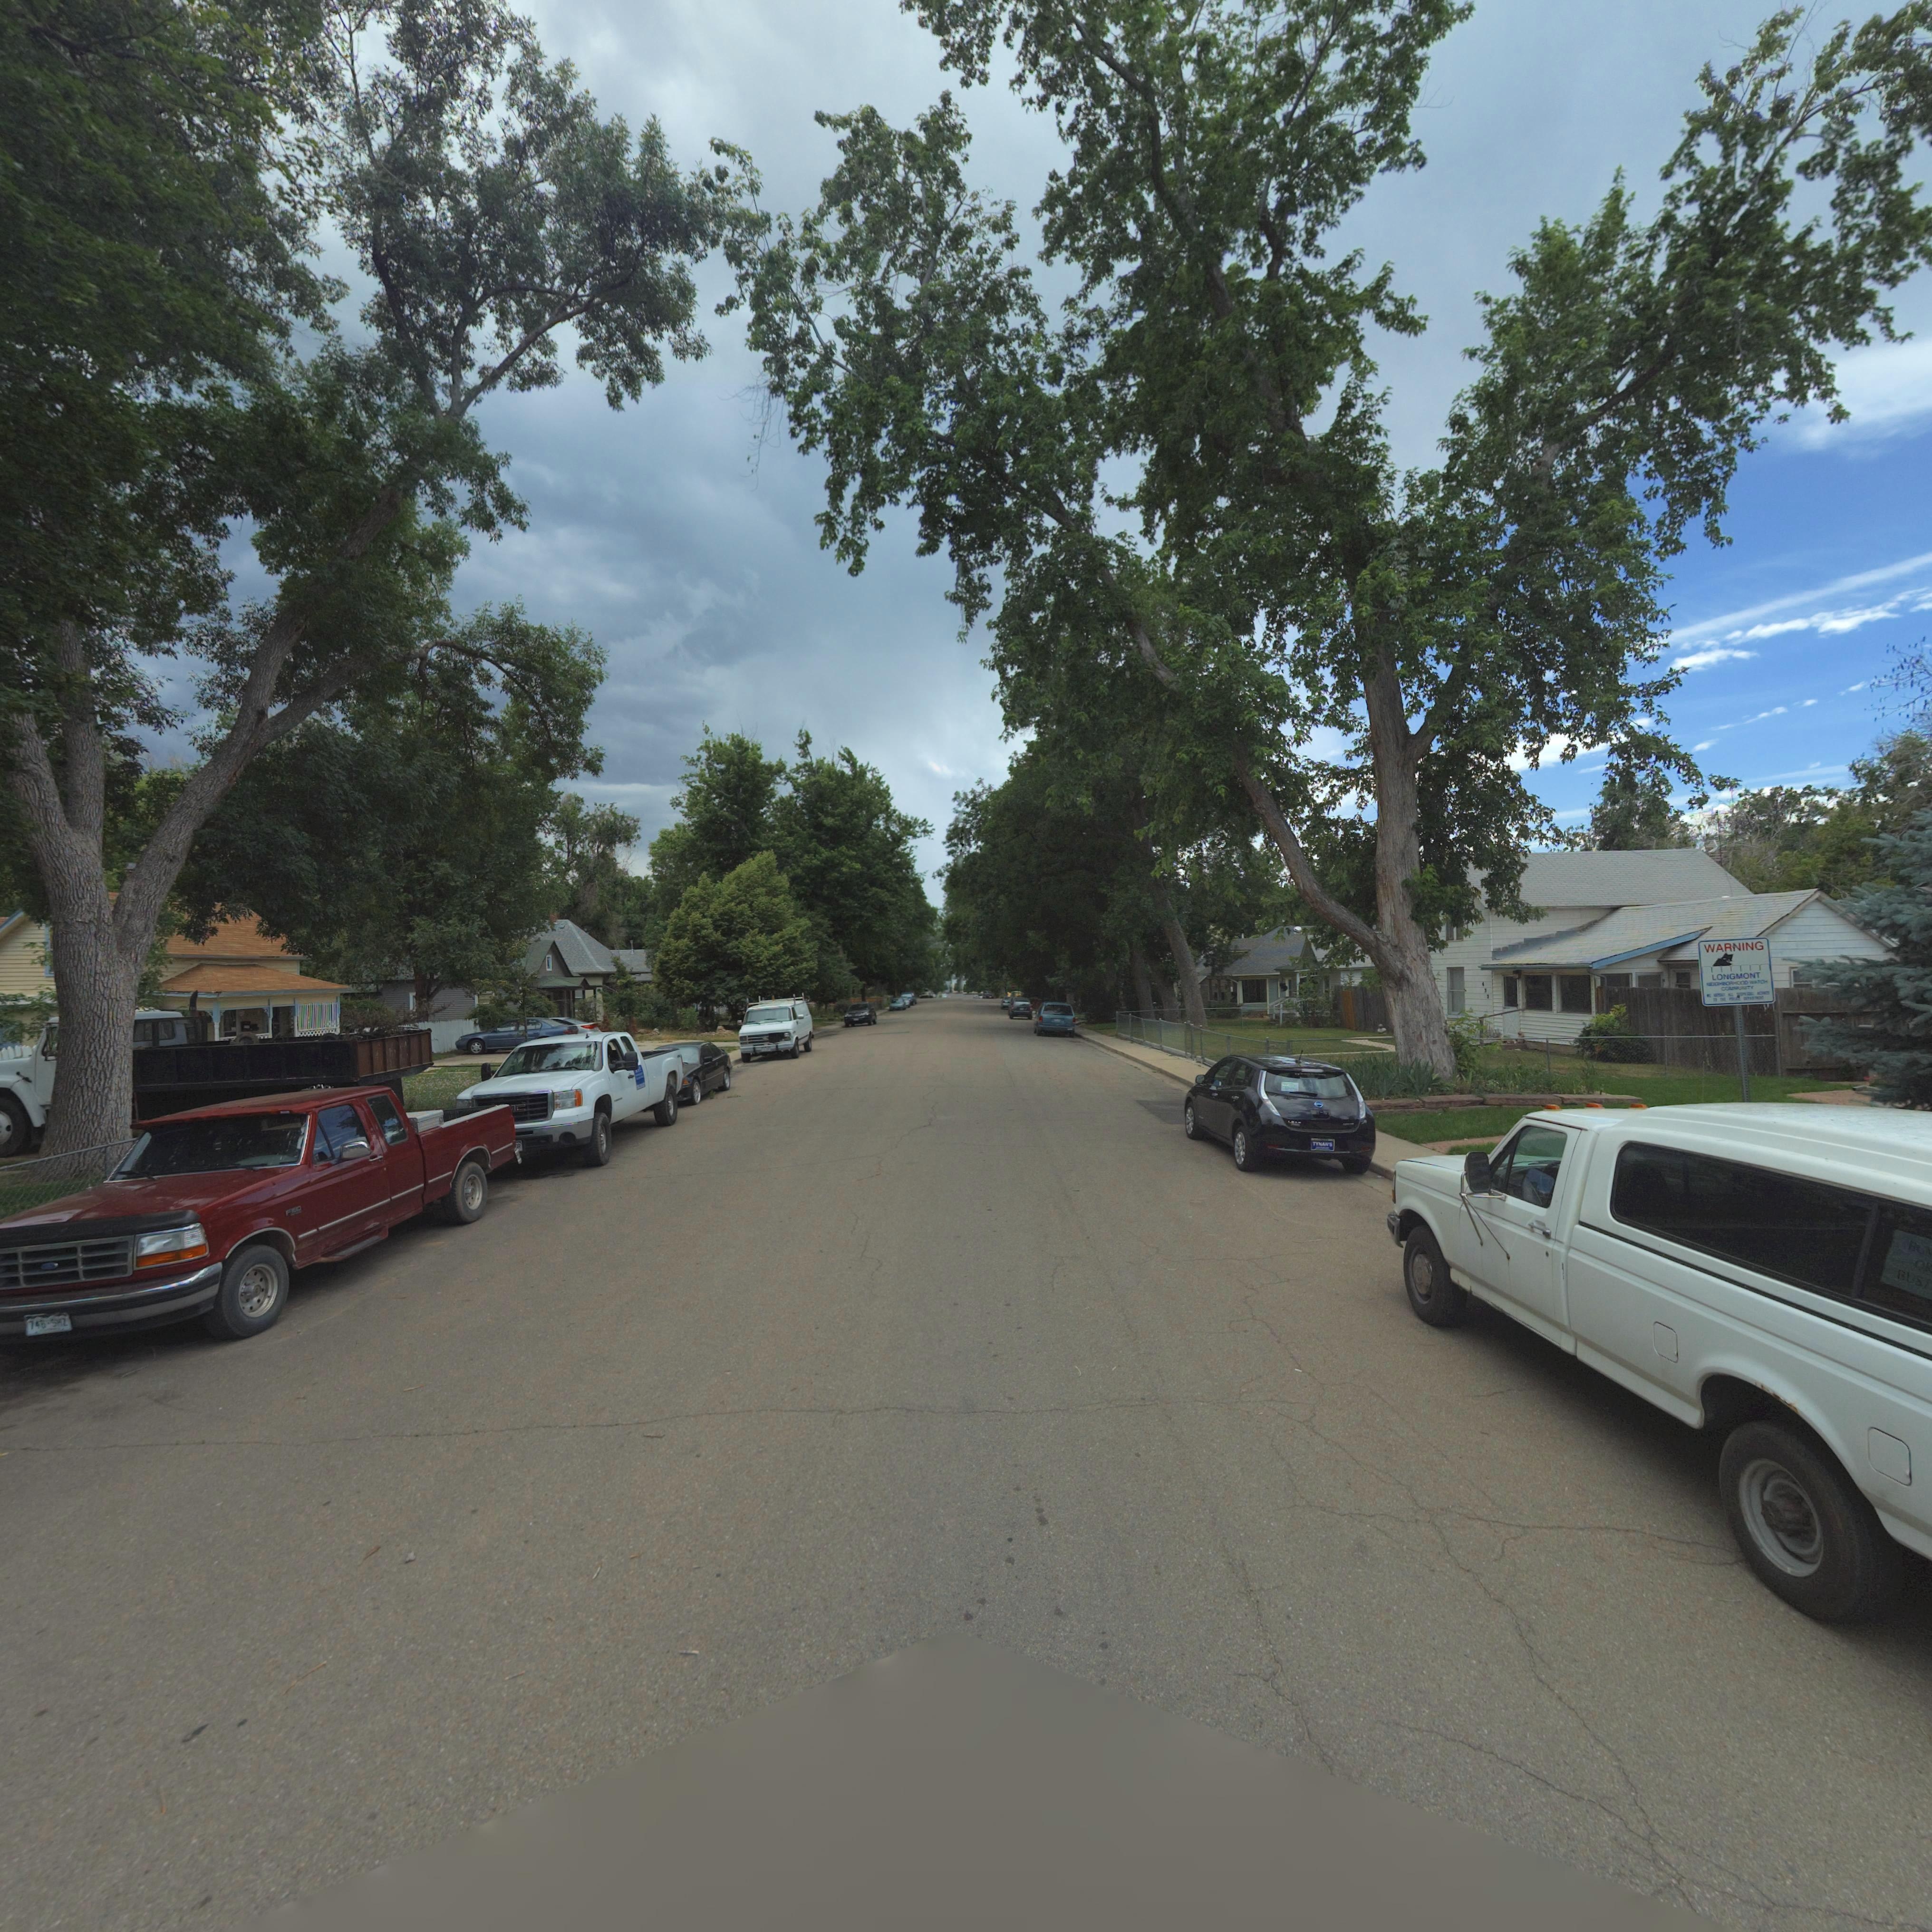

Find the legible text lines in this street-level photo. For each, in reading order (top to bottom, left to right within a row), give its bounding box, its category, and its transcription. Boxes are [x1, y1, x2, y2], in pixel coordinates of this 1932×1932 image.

[1481, 981, 1489, 999] StreetNumber: 433